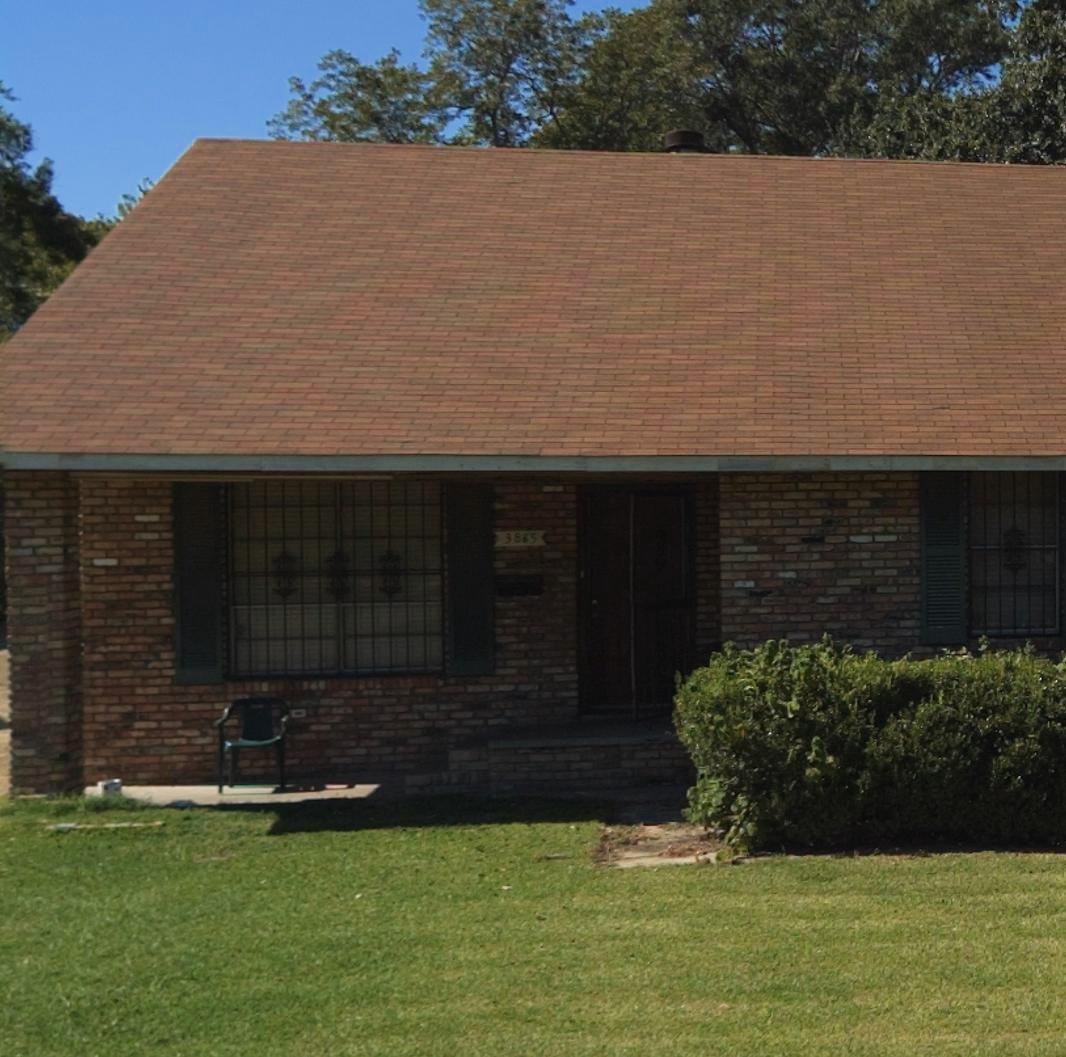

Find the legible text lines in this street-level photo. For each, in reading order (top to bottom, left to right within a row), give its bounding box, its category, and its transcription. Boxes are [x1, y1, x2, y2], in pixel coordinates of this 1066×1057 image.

[503, 532, 538, 545] StreetNumber: 3865